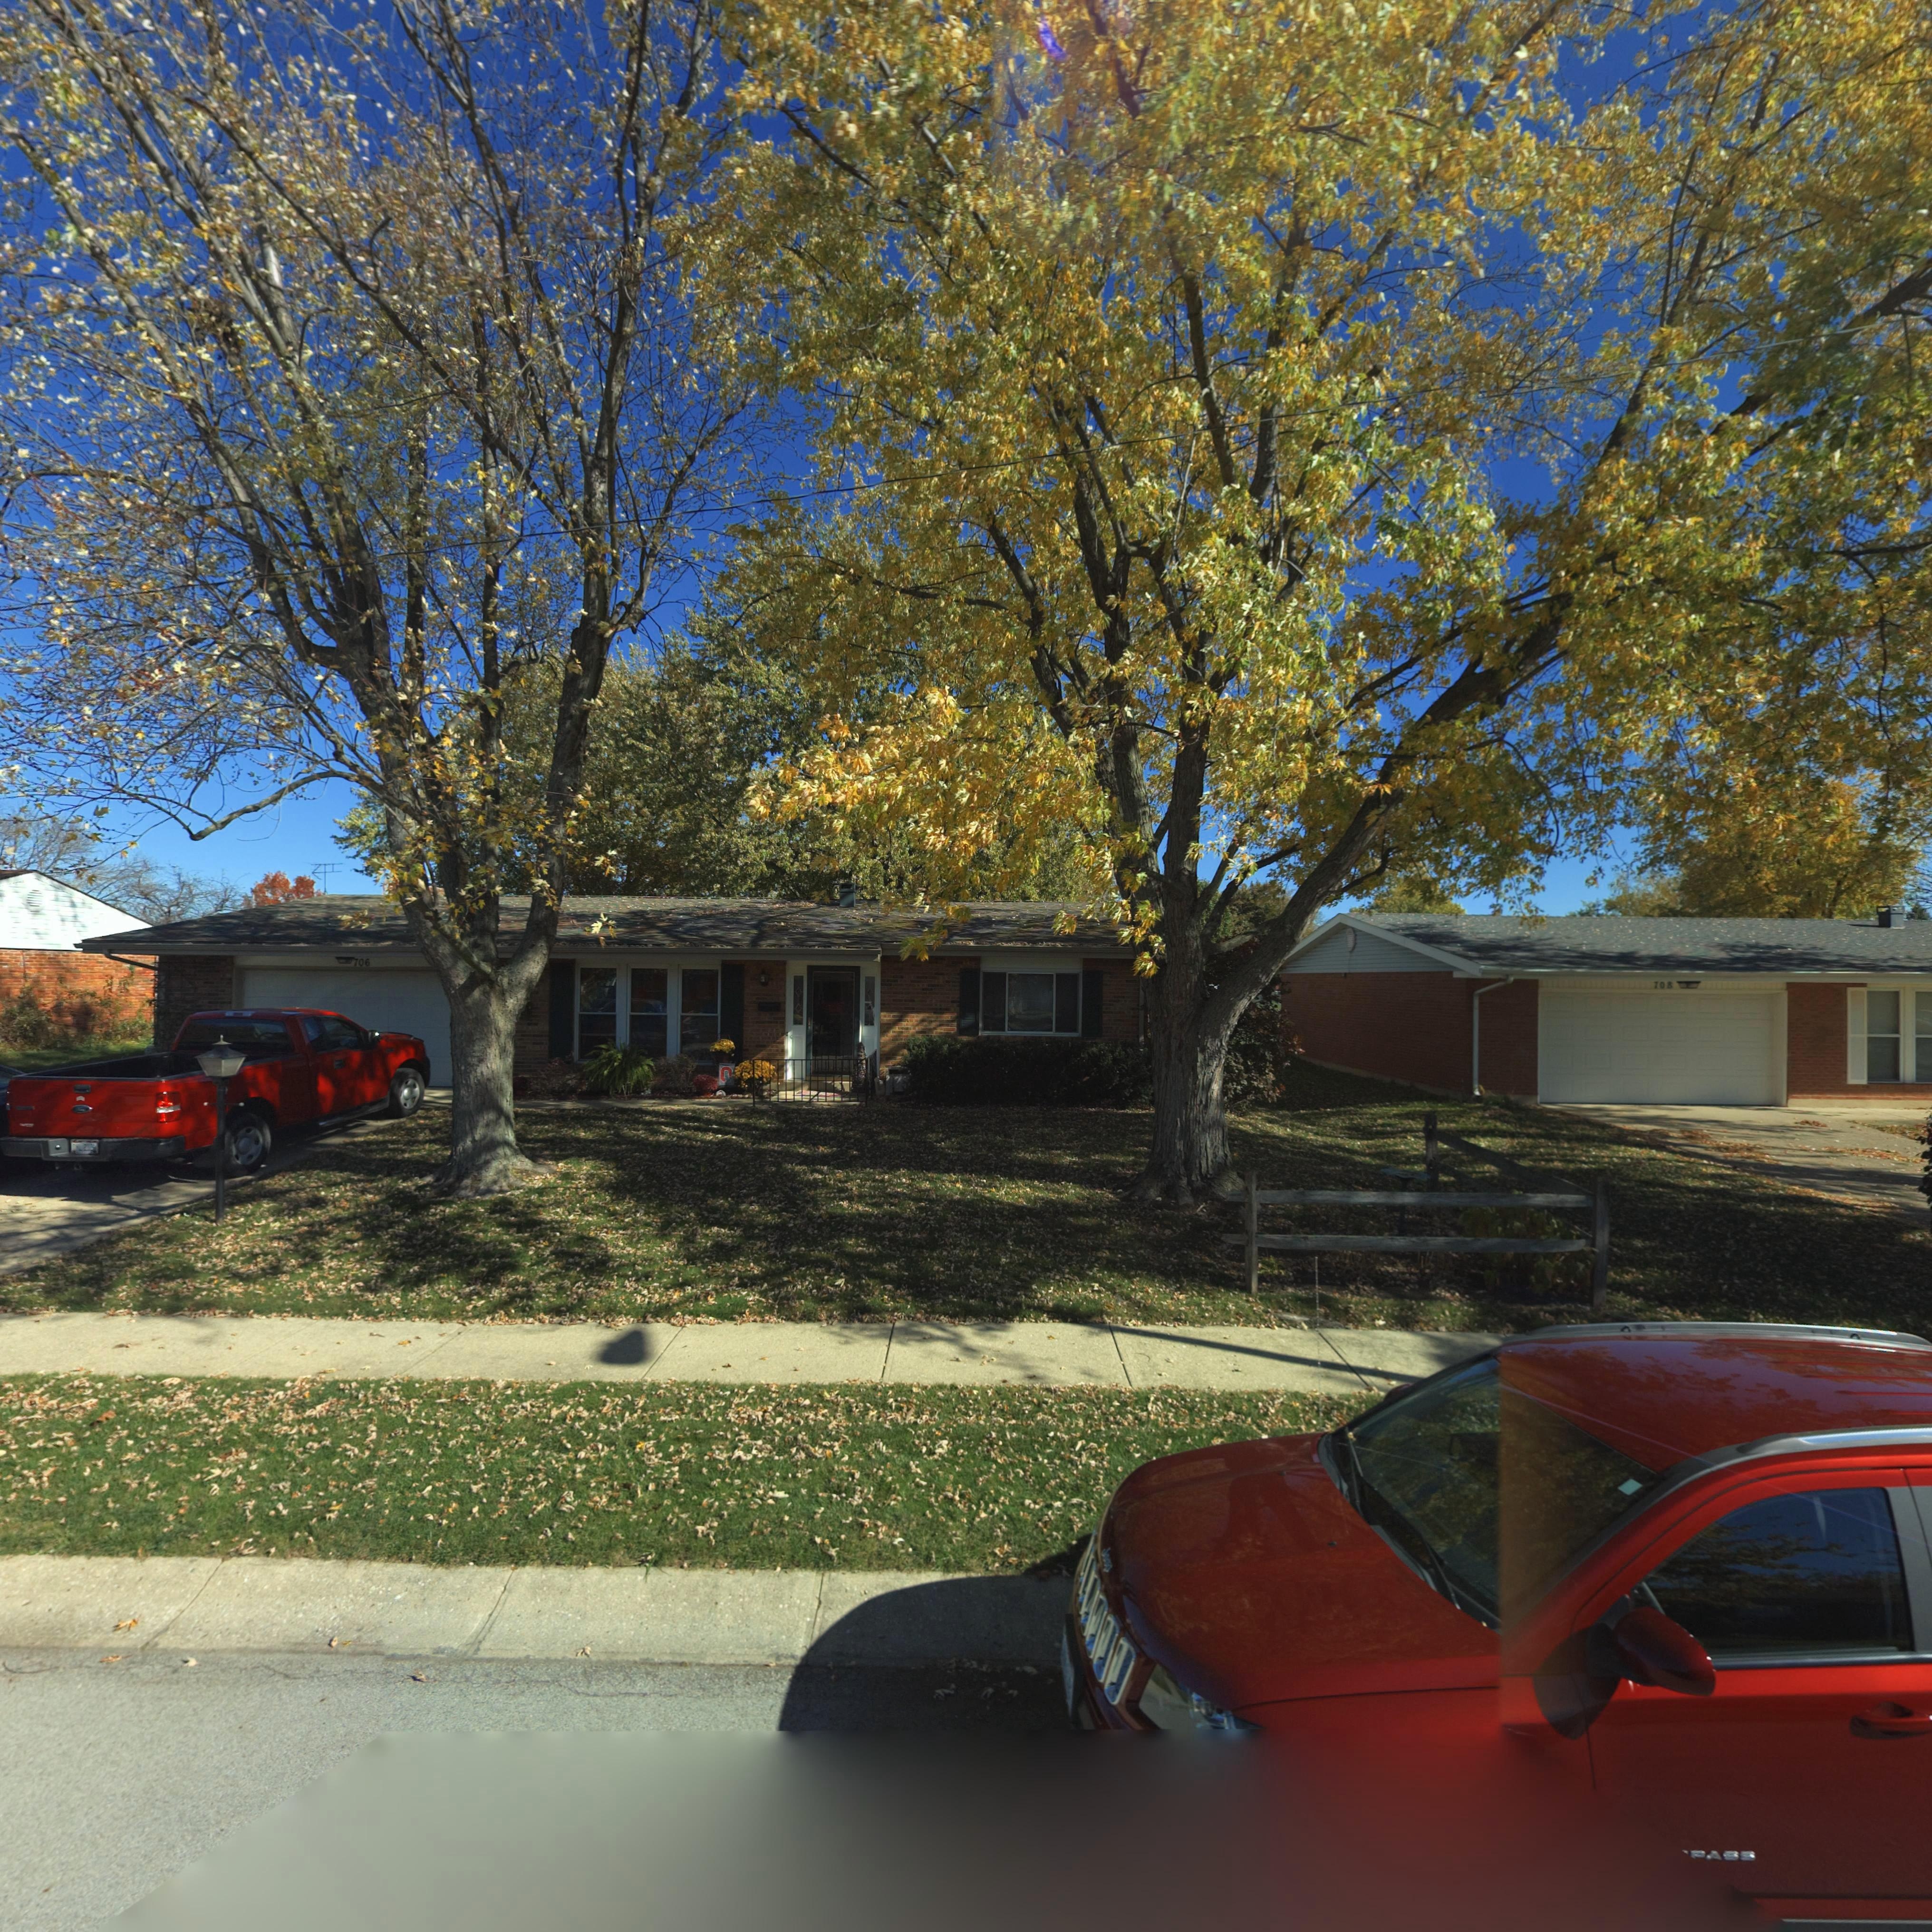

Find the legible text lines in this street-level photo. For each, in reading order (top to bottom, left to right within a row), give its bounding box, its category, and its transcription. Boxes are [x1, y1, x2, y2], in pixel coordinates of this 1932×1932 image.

[353, 957, 370, 966] StreetNumber: 706
[1653, 981, 1672, 989] StreetNumber: 708